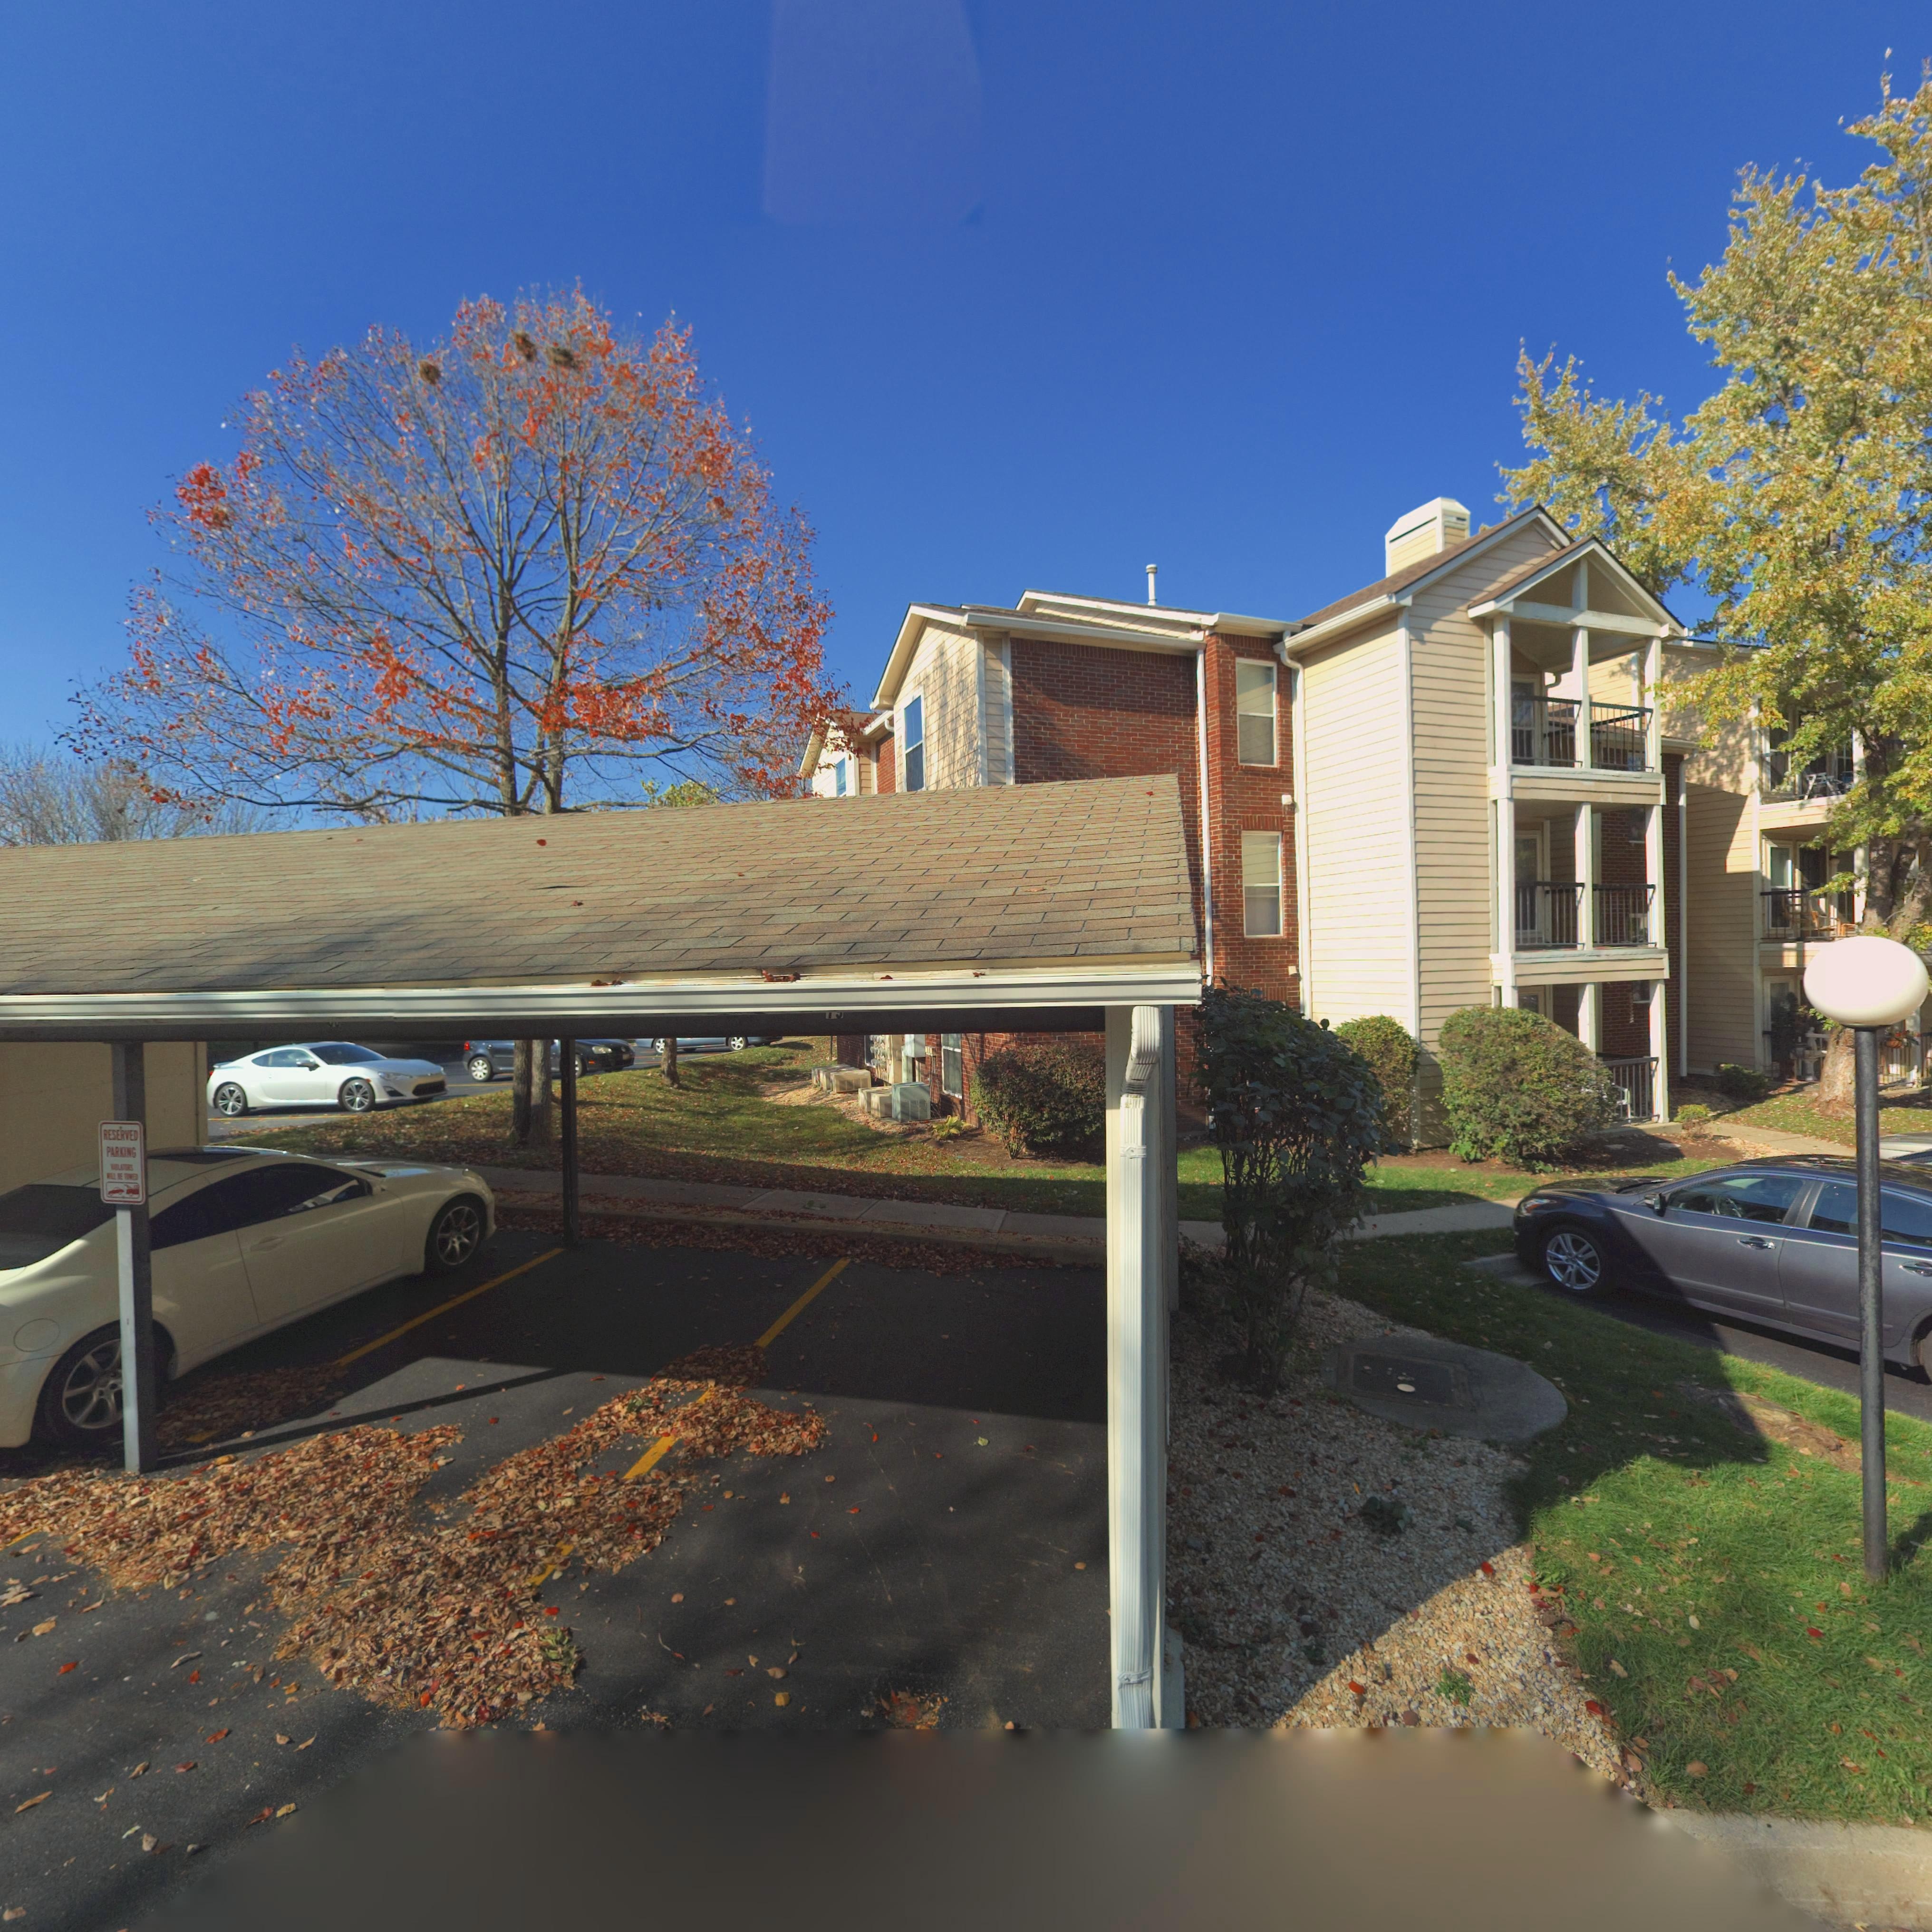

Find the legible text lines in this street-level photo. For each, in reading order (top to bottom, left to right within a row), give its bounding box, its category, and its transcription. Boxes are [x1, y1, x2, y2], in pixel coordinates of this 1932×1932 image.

[102, 1128, 140, 1142] None: RESERVED
[106, 1145, 137, 1159] None: PARKING